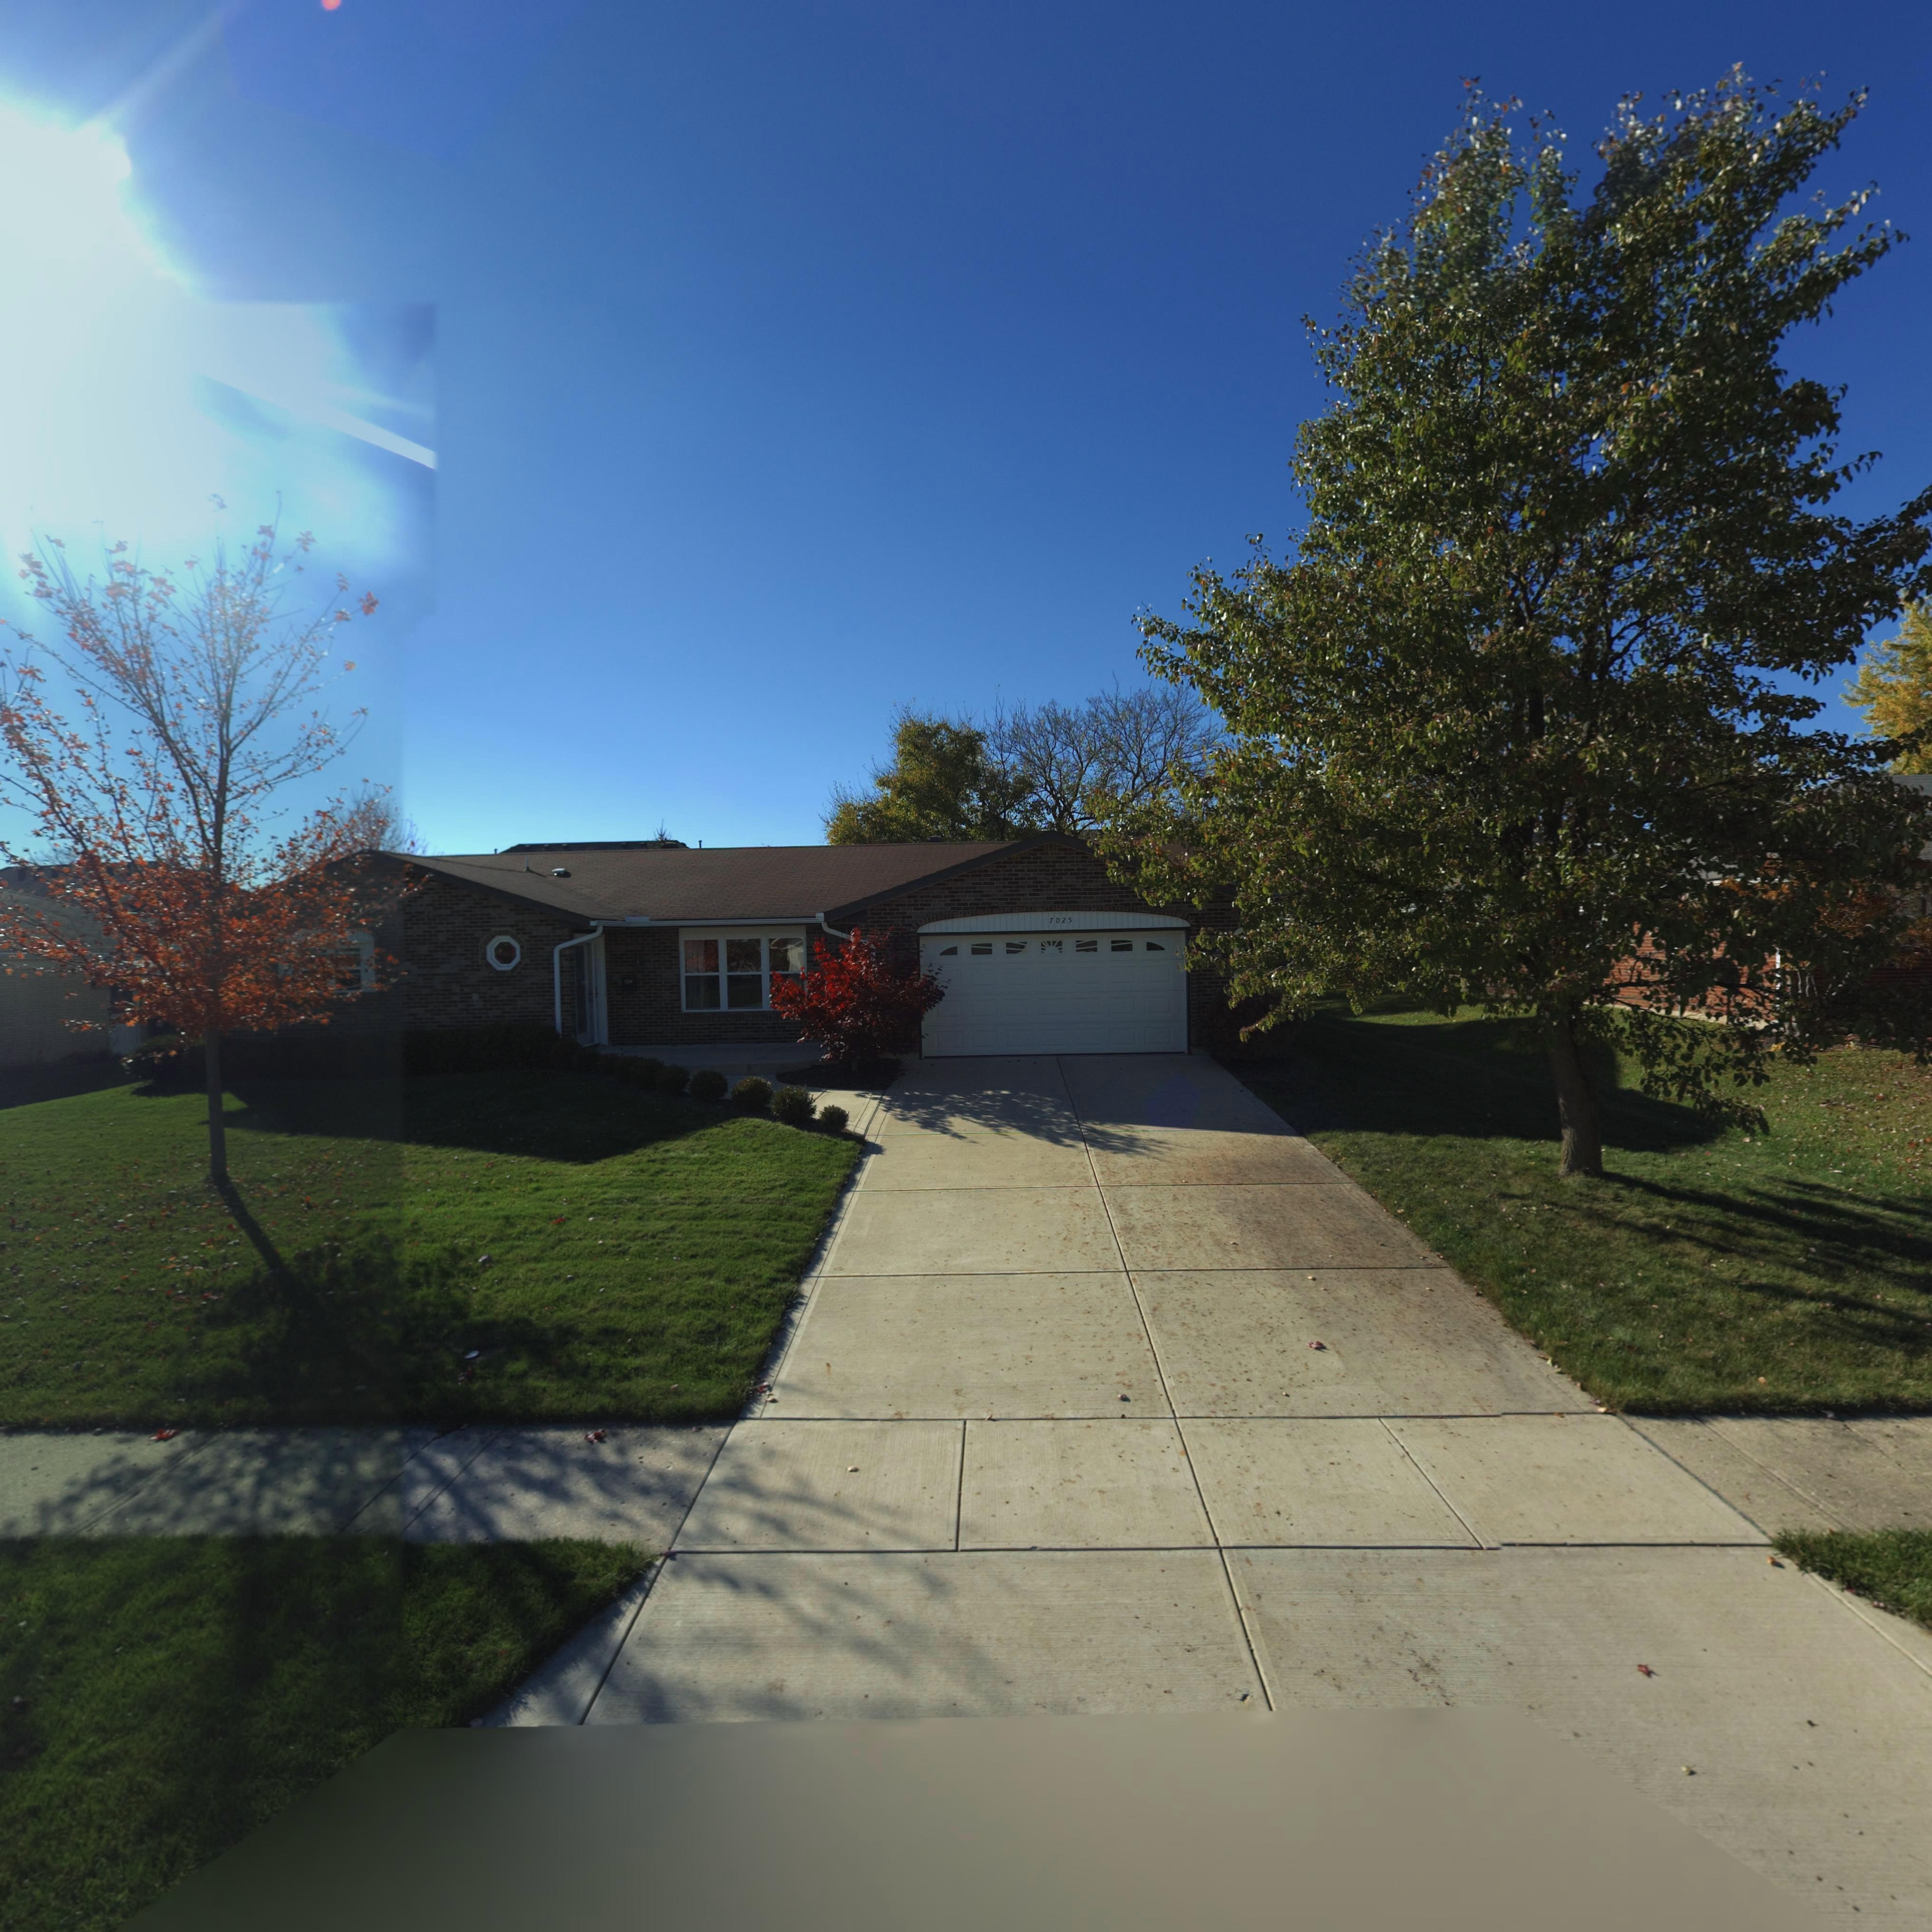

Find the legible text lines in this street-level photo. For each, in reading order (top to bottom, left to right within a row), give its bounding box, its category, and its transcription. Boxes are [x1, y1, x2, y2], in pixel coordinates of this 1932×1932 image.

[1049, 917, 1072, 924] StreetNumber: 7025